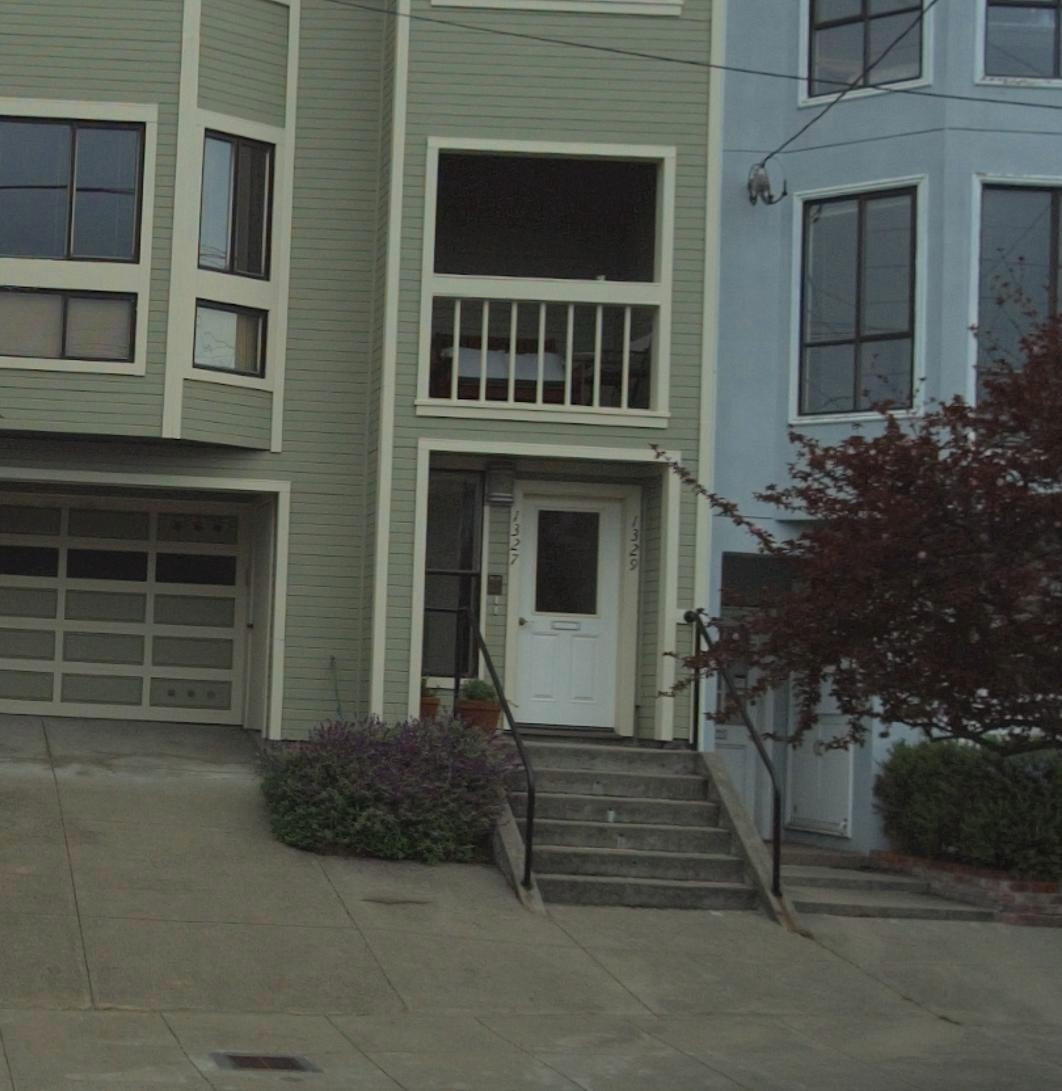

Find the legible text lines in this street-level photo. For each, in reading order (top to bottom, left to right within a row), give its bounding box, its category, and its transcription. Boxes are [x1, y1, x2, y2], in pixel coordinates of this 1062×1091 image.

[509, 510, 522, 566] StreetNumber: 1327
[628, 513, 639, 571] StreetNumber: 1329